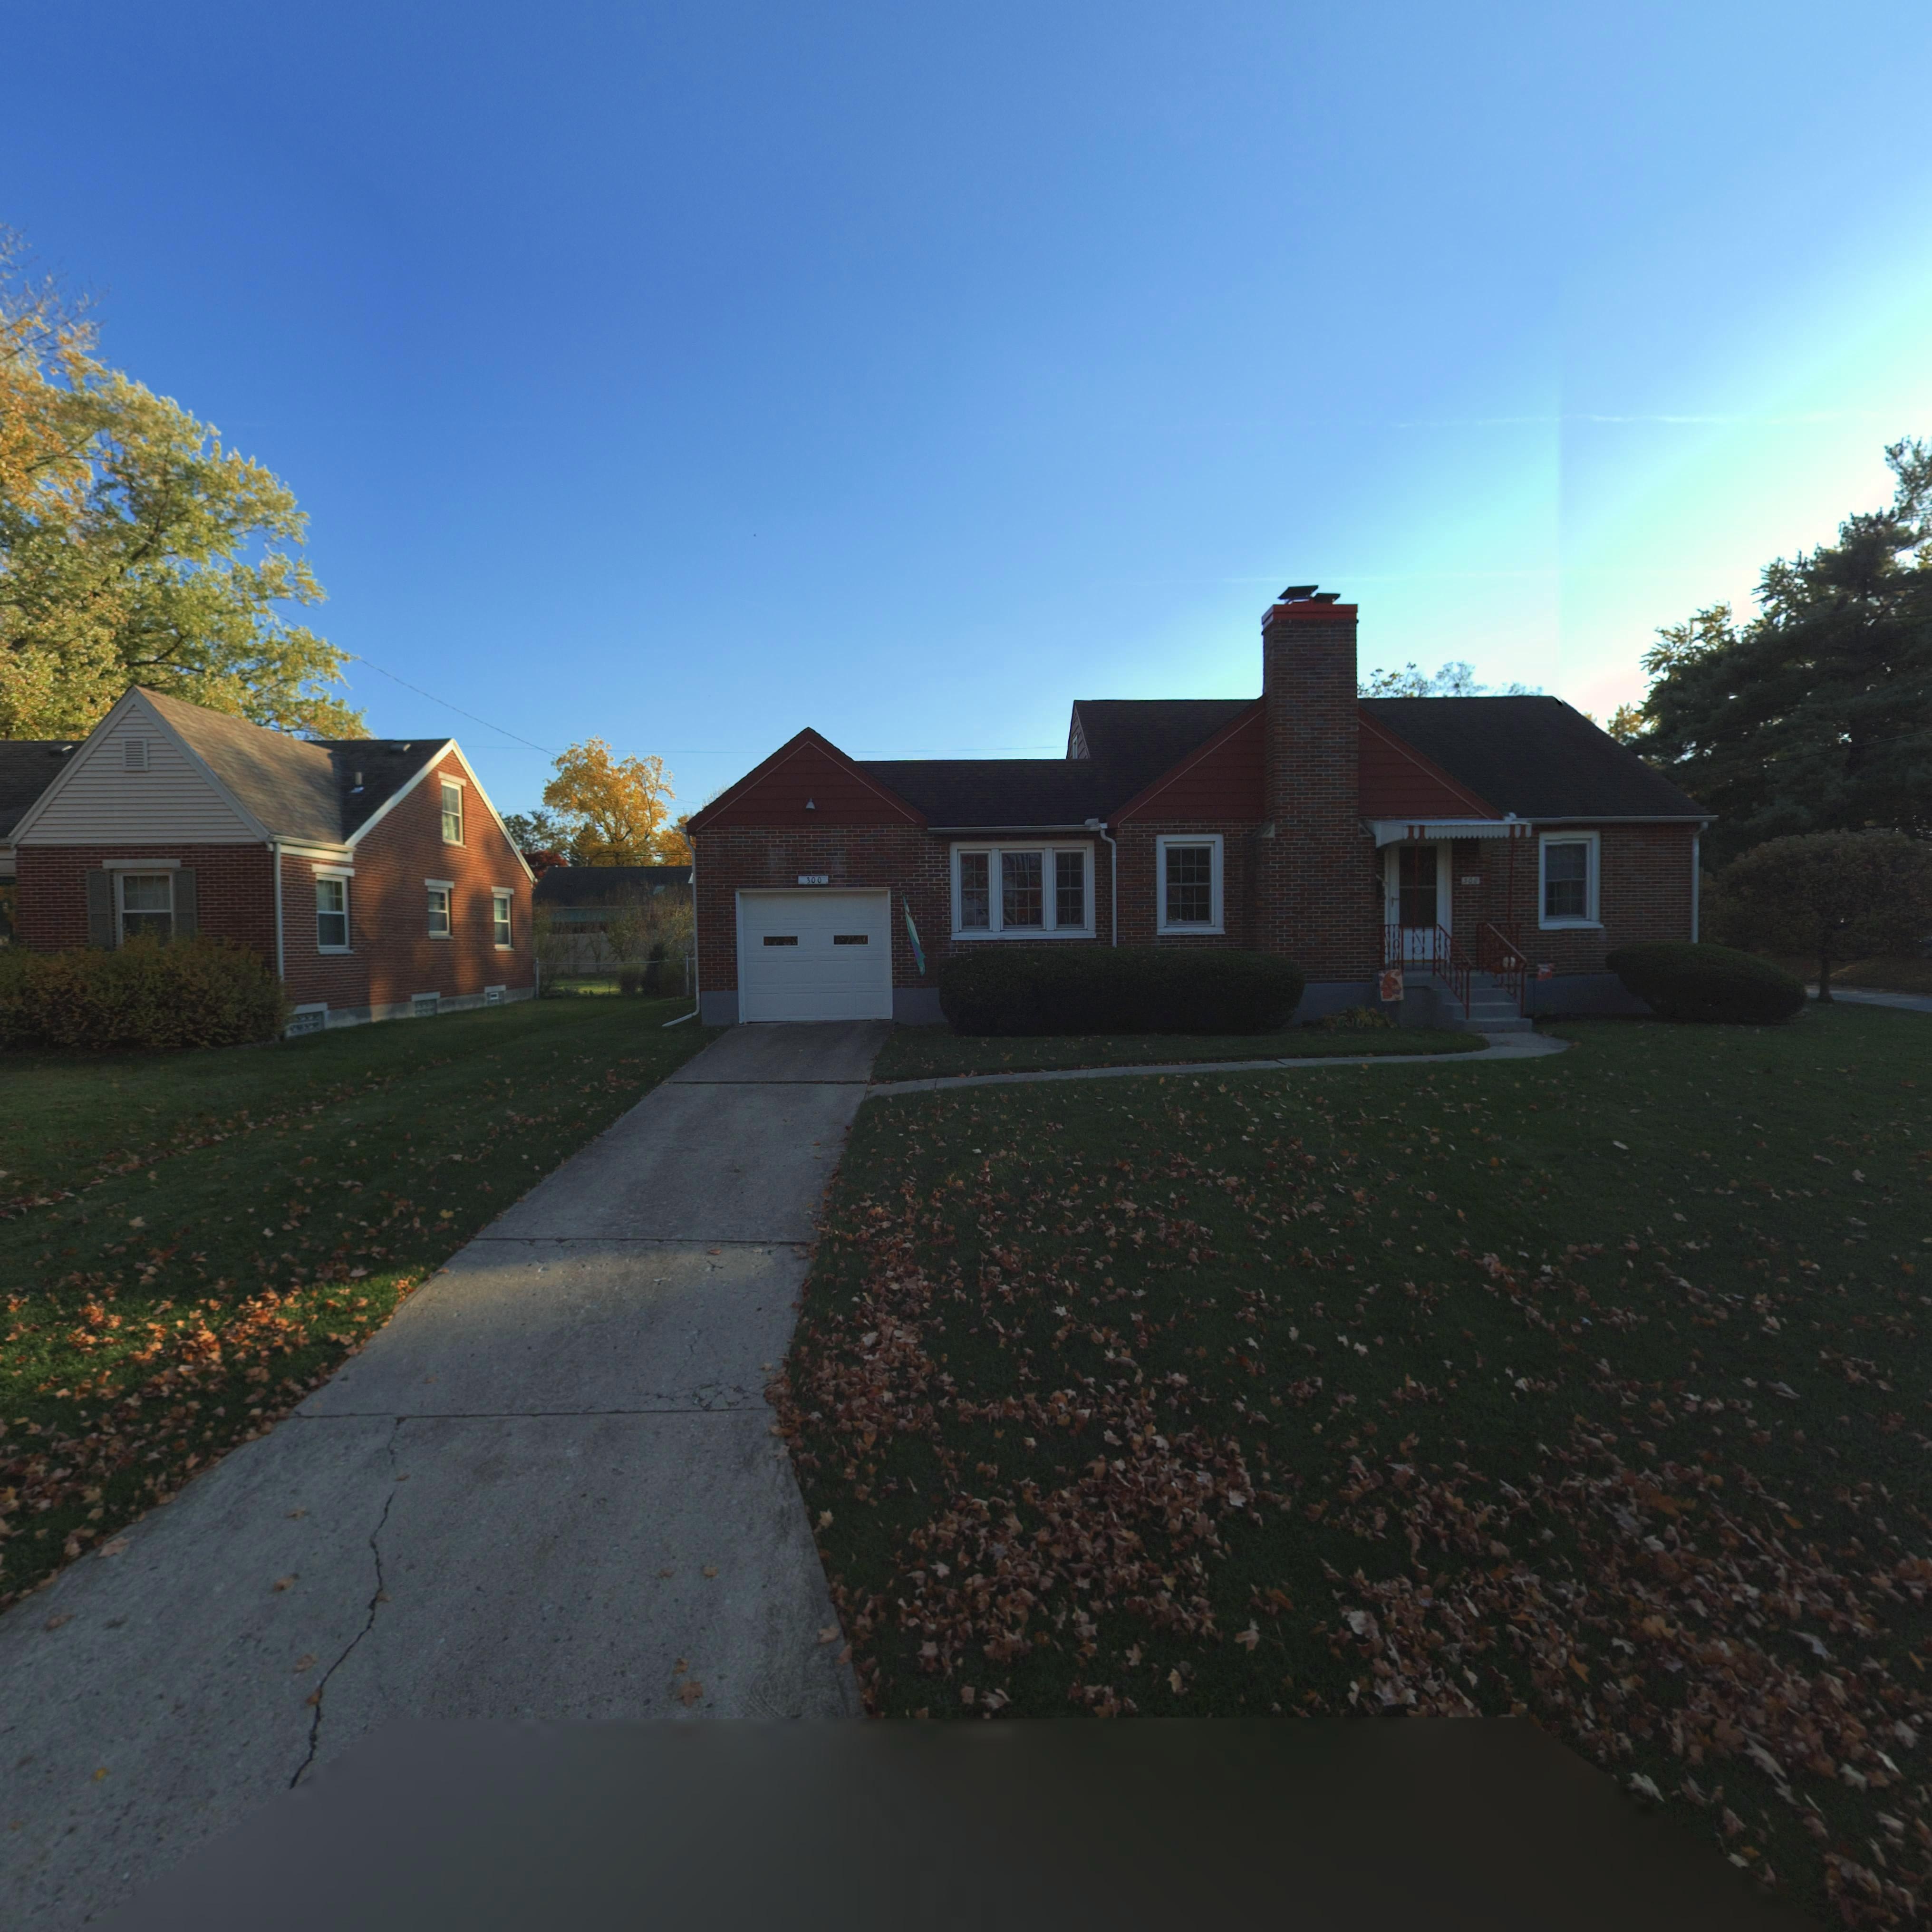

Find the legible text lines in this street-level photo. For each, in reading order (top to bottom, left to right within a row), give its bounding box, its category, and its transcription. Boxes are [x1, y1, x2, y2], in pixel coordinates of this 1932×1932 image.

[806, 876, 821, 884] StreetNumber: 300
[1462, 877, 1478, 884] StreetNumber: 300